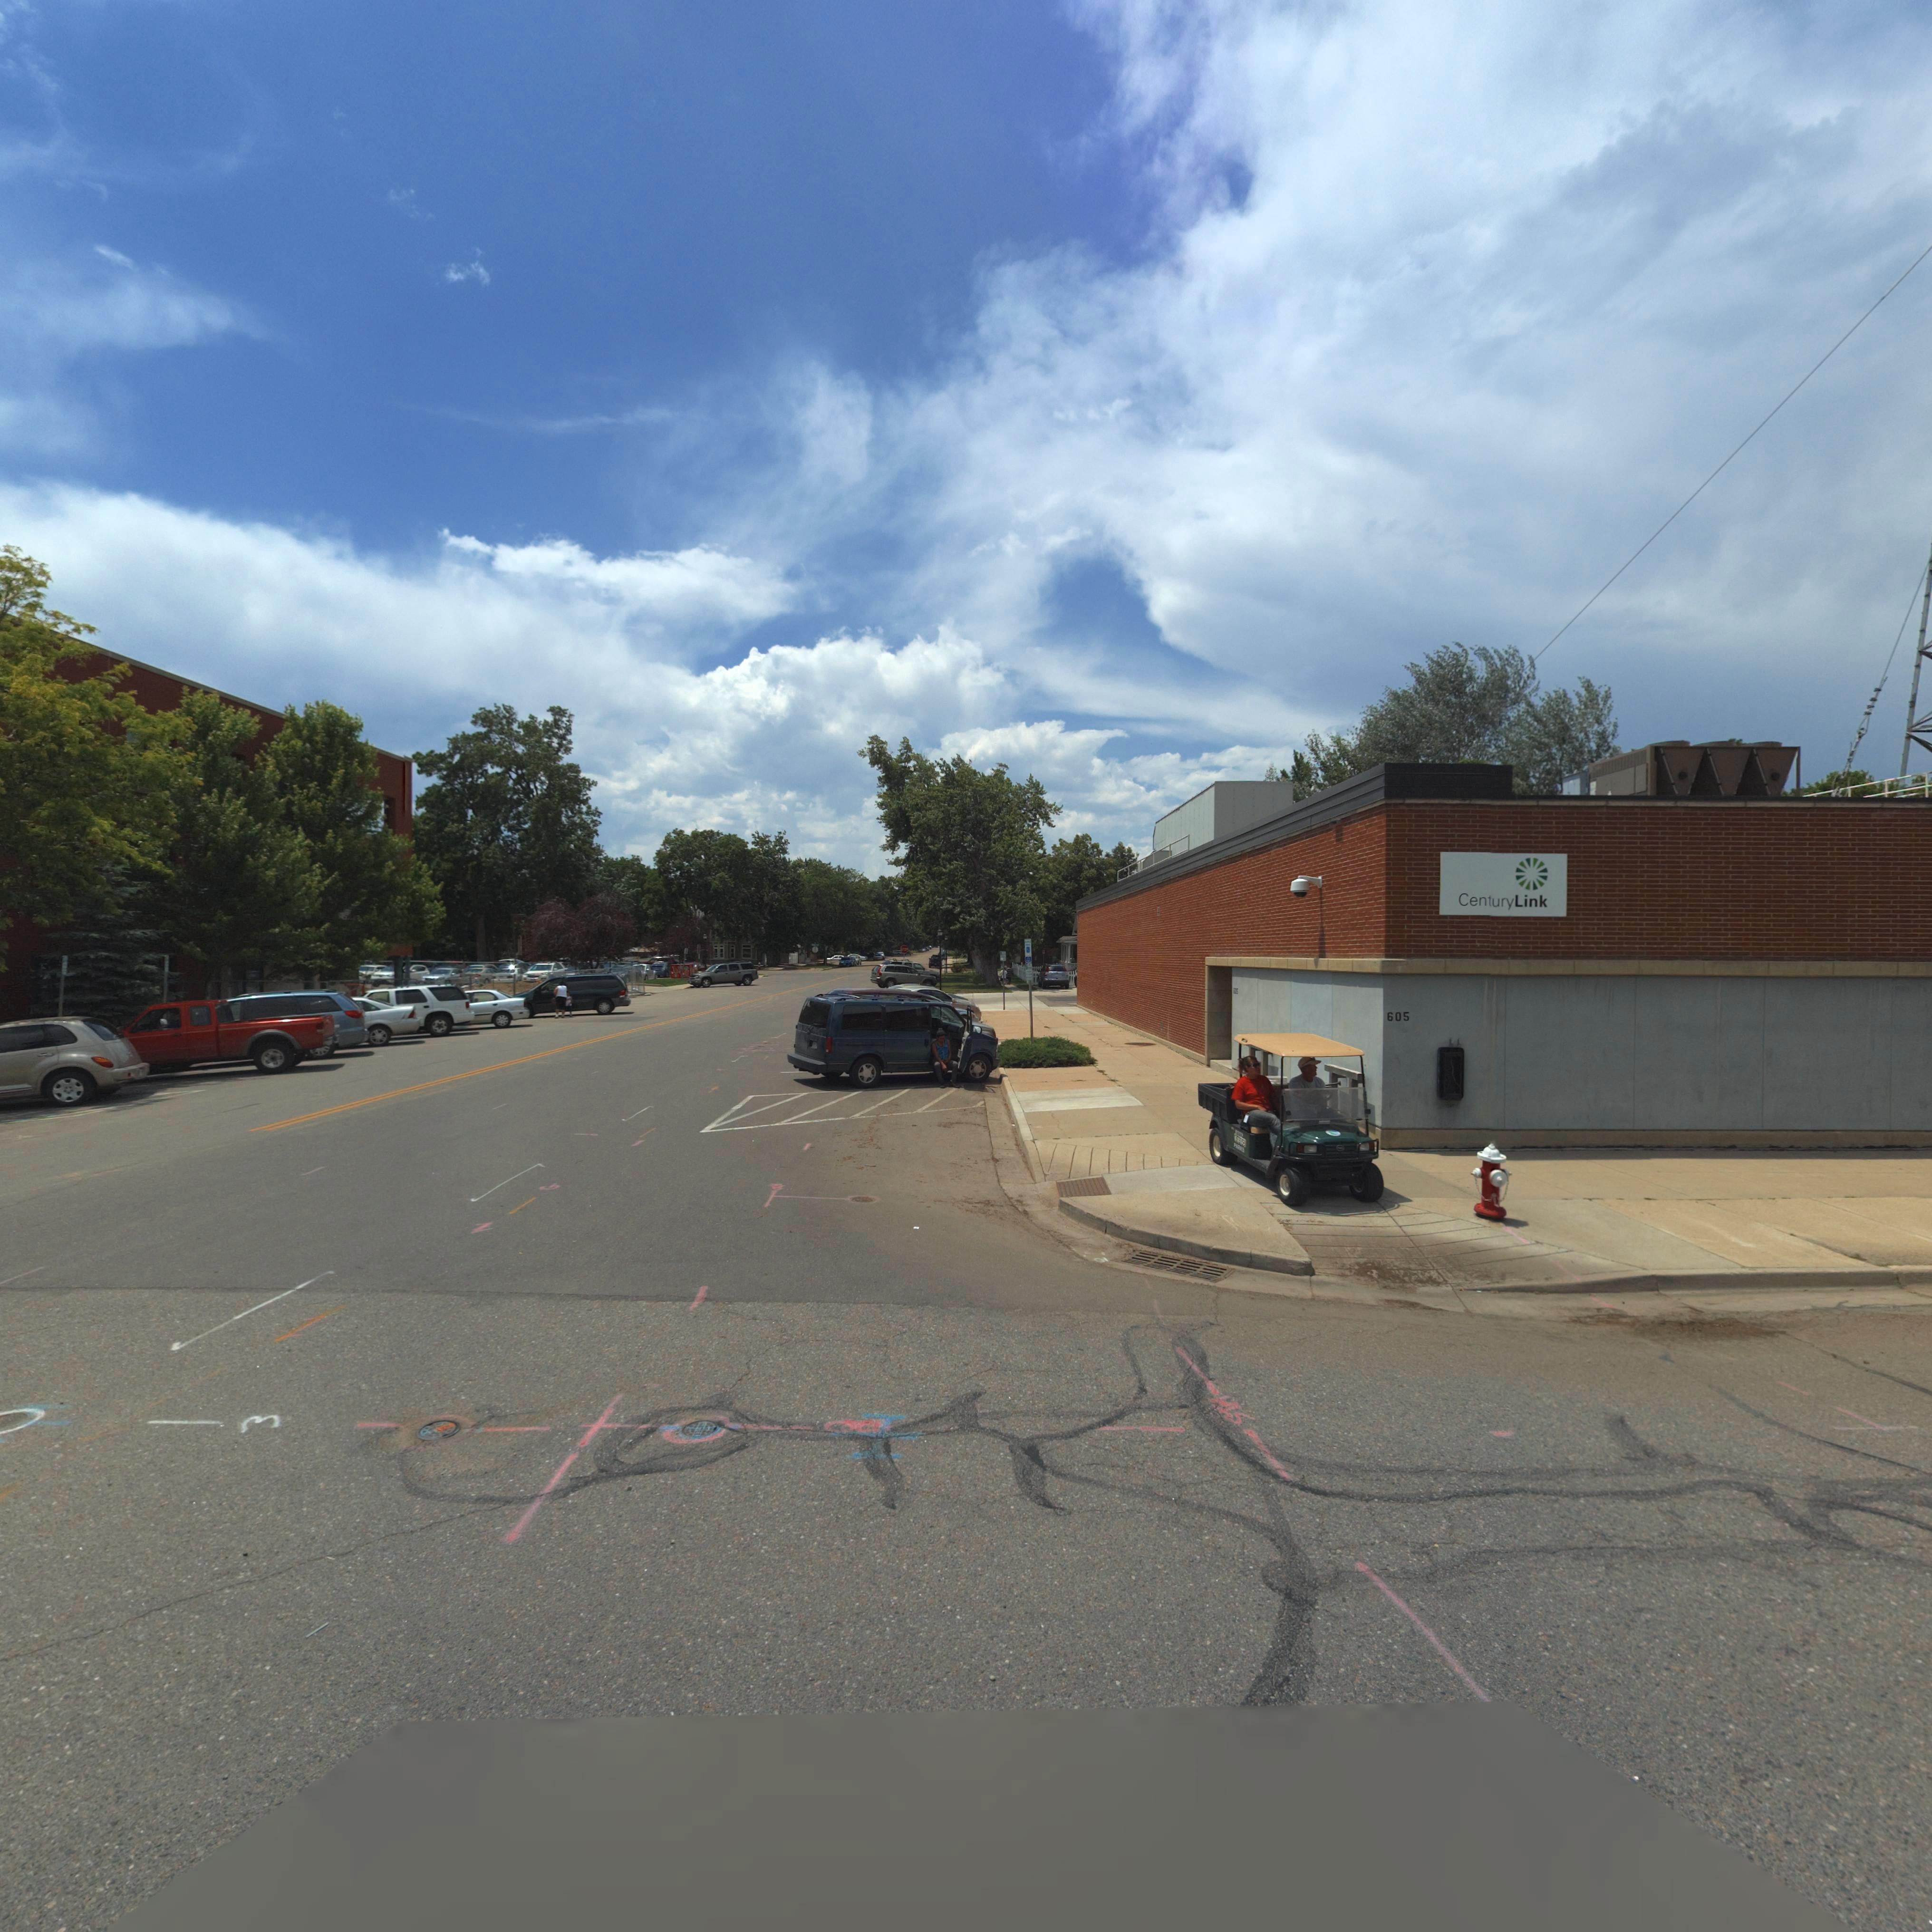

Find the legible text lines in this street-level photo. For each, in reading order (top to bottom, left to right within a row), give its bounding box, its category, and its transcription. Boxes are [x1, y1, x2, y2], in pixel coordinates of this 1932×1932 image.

[1458, 892, 1547, 911] BusinessName: CenturyLink
[1387, 1012, 1410, 1022] StreetNumber: 605